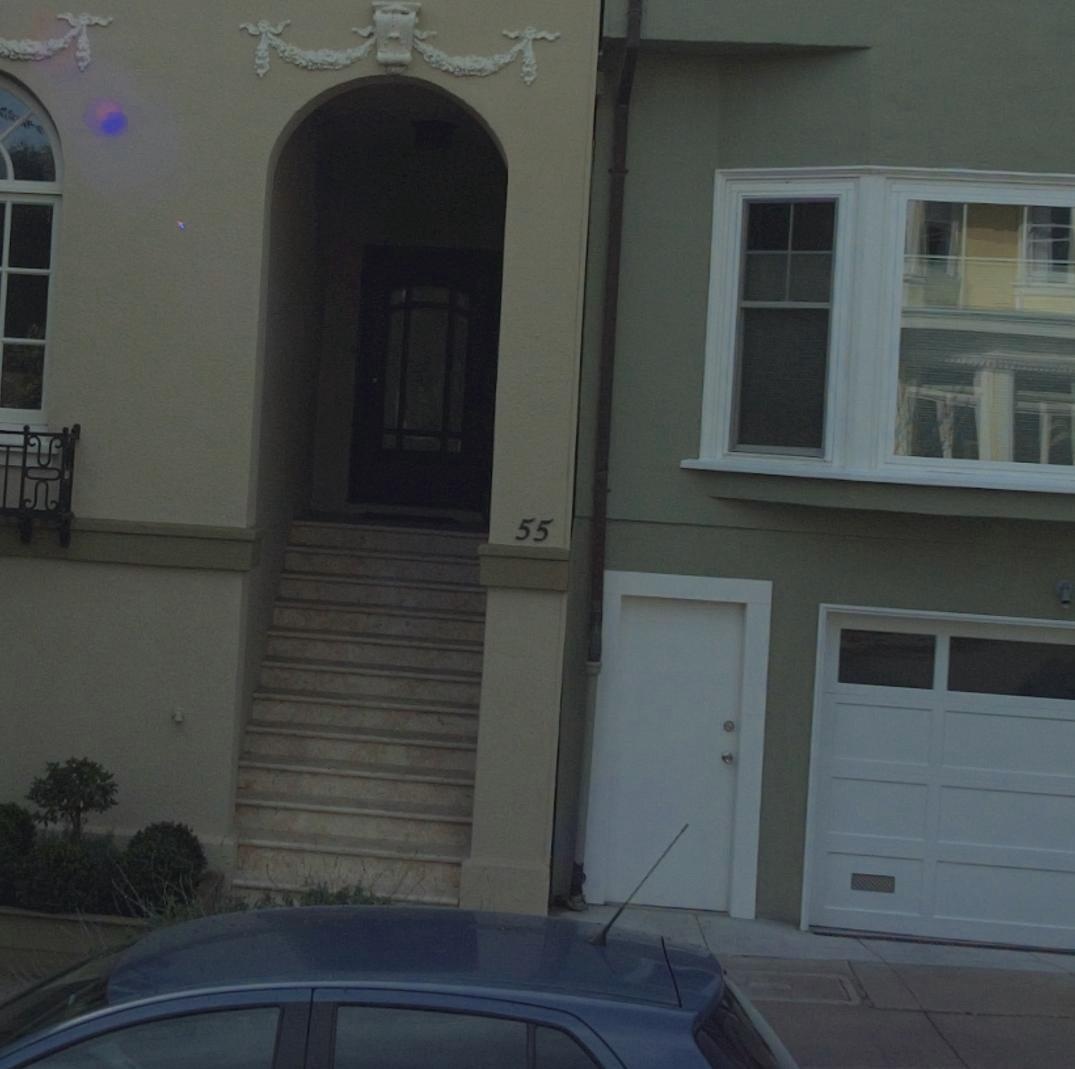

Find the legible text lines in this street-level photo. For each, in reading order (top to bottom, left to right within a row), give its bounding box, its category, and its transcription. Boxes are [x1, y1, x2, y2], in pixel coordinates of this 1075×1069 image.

[513, 517, 555, 543] StreetNumber: 55